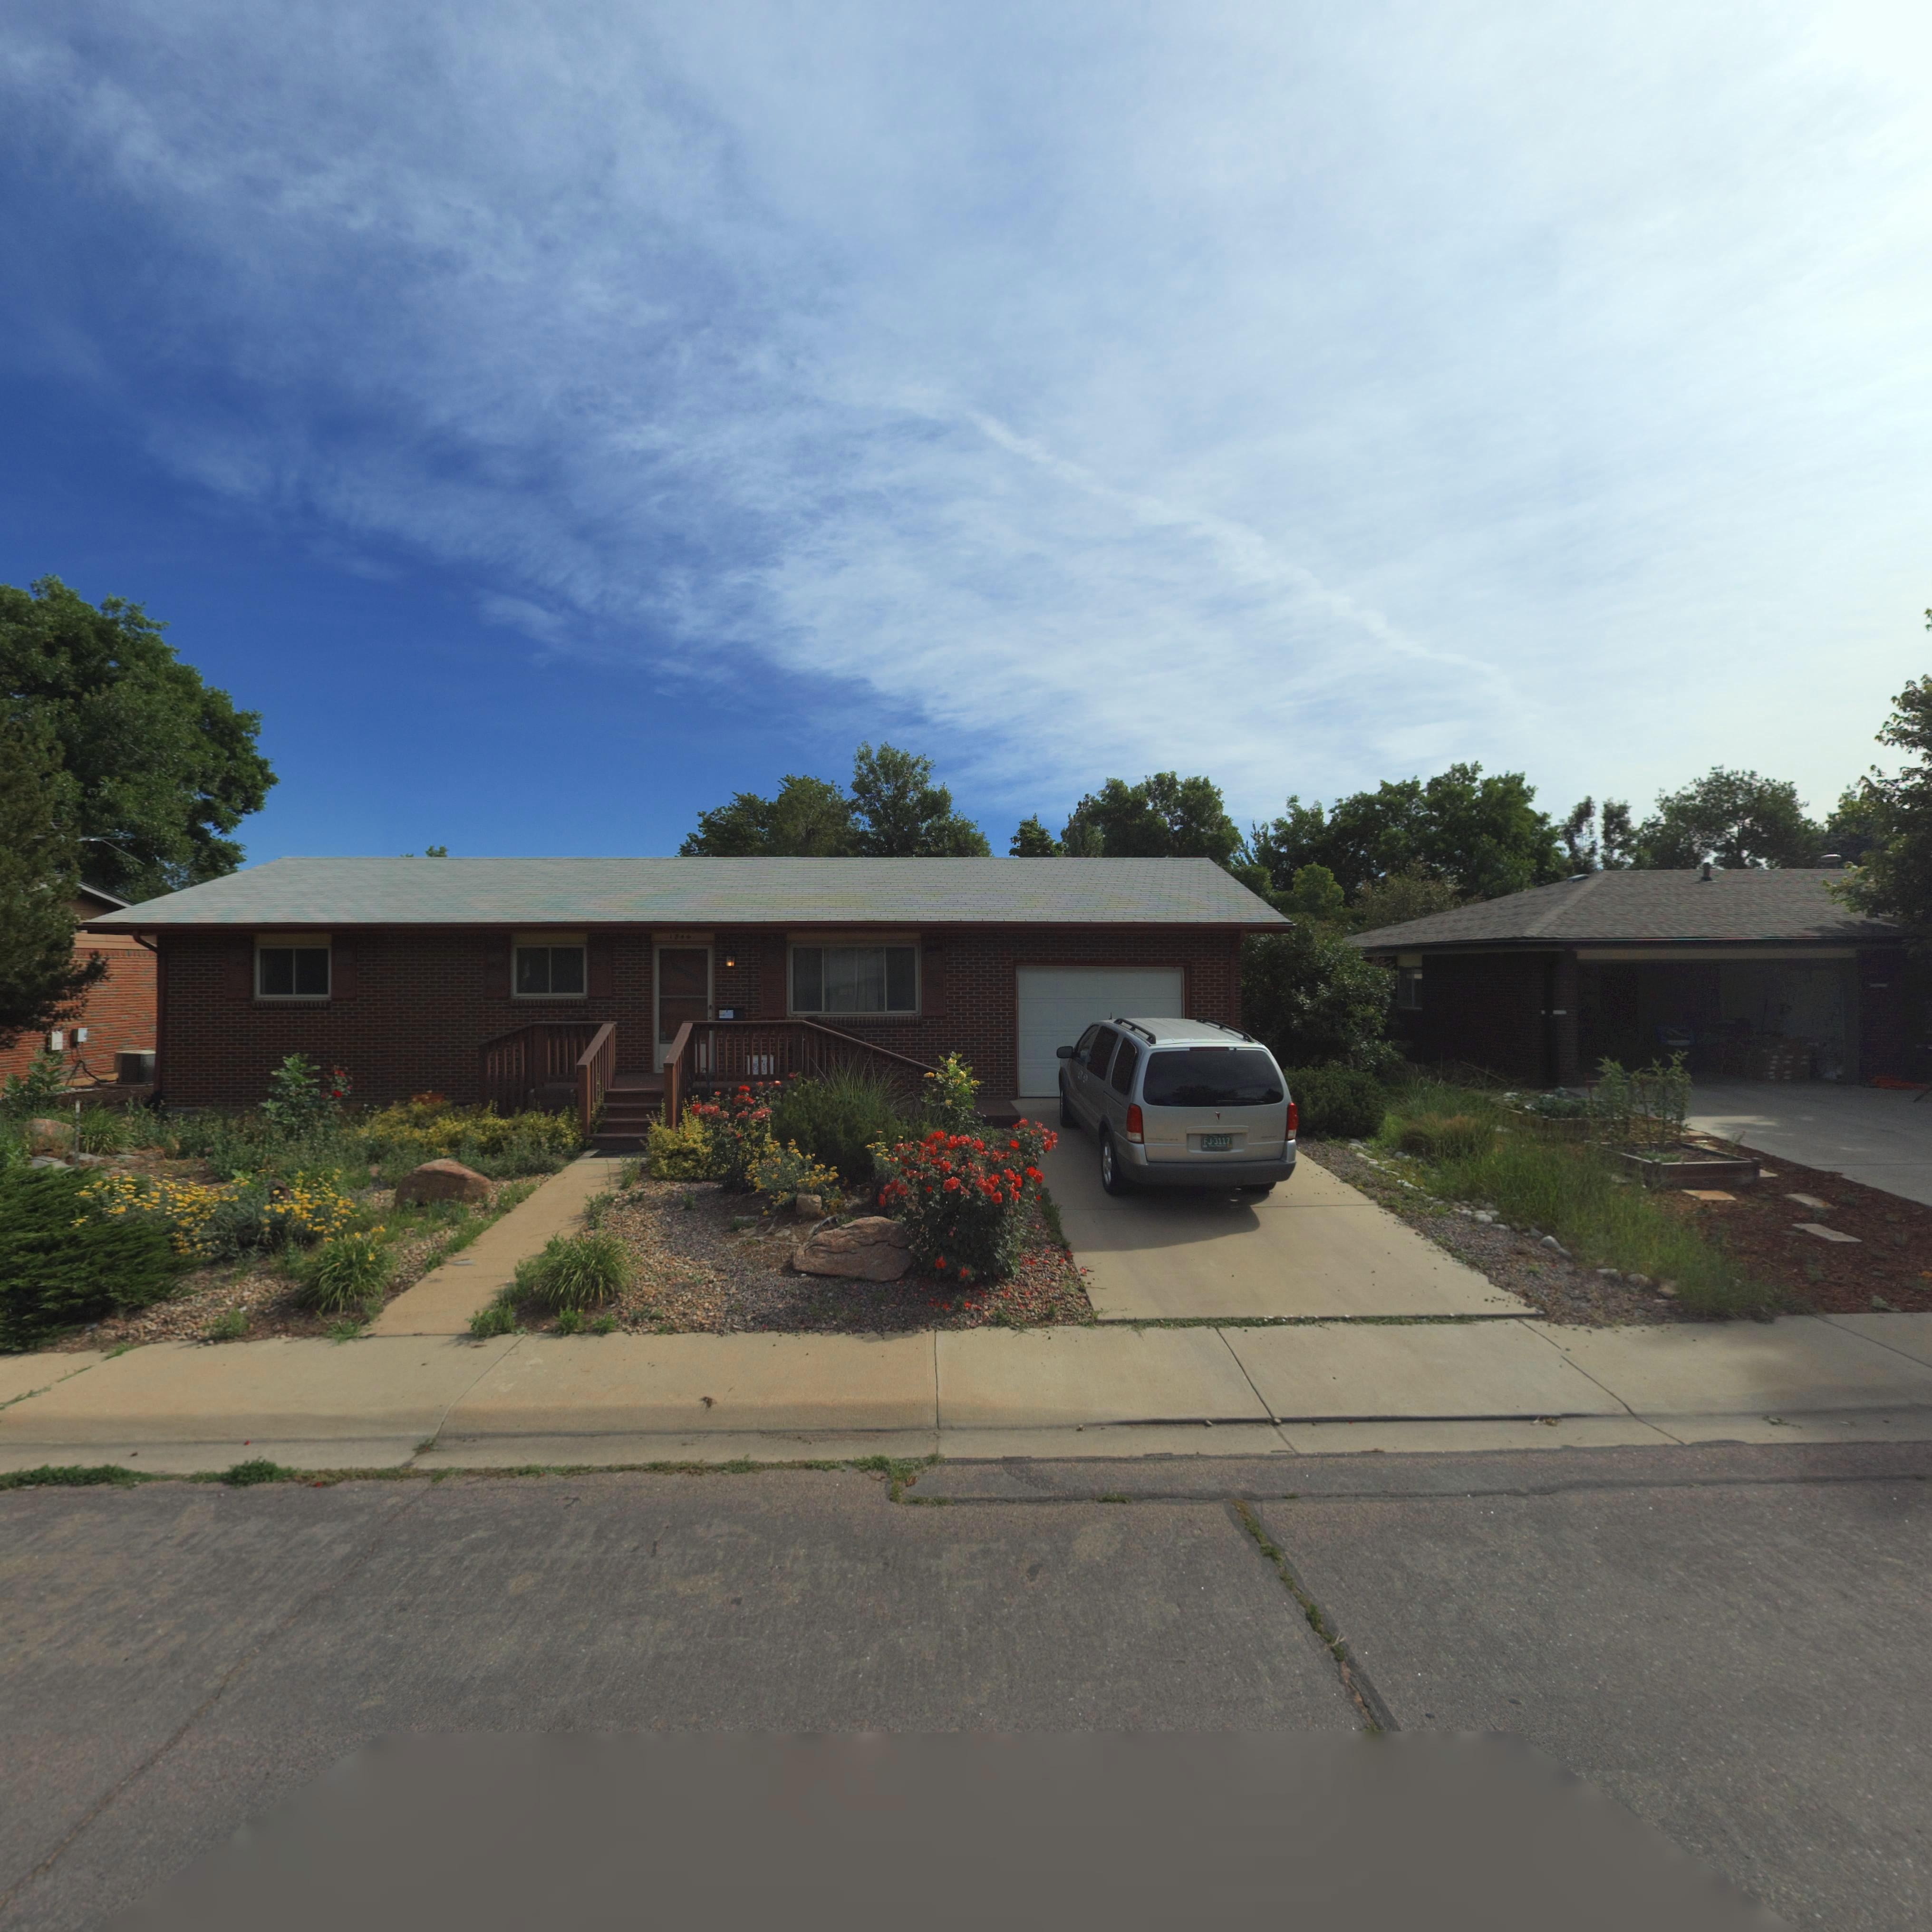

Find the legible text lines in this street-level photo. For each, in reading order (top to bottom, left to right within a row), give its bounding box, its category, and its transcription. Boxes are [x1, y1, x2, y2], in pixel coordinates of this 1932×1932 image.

[669, 933, 690, 940] StreetNumber: 1844